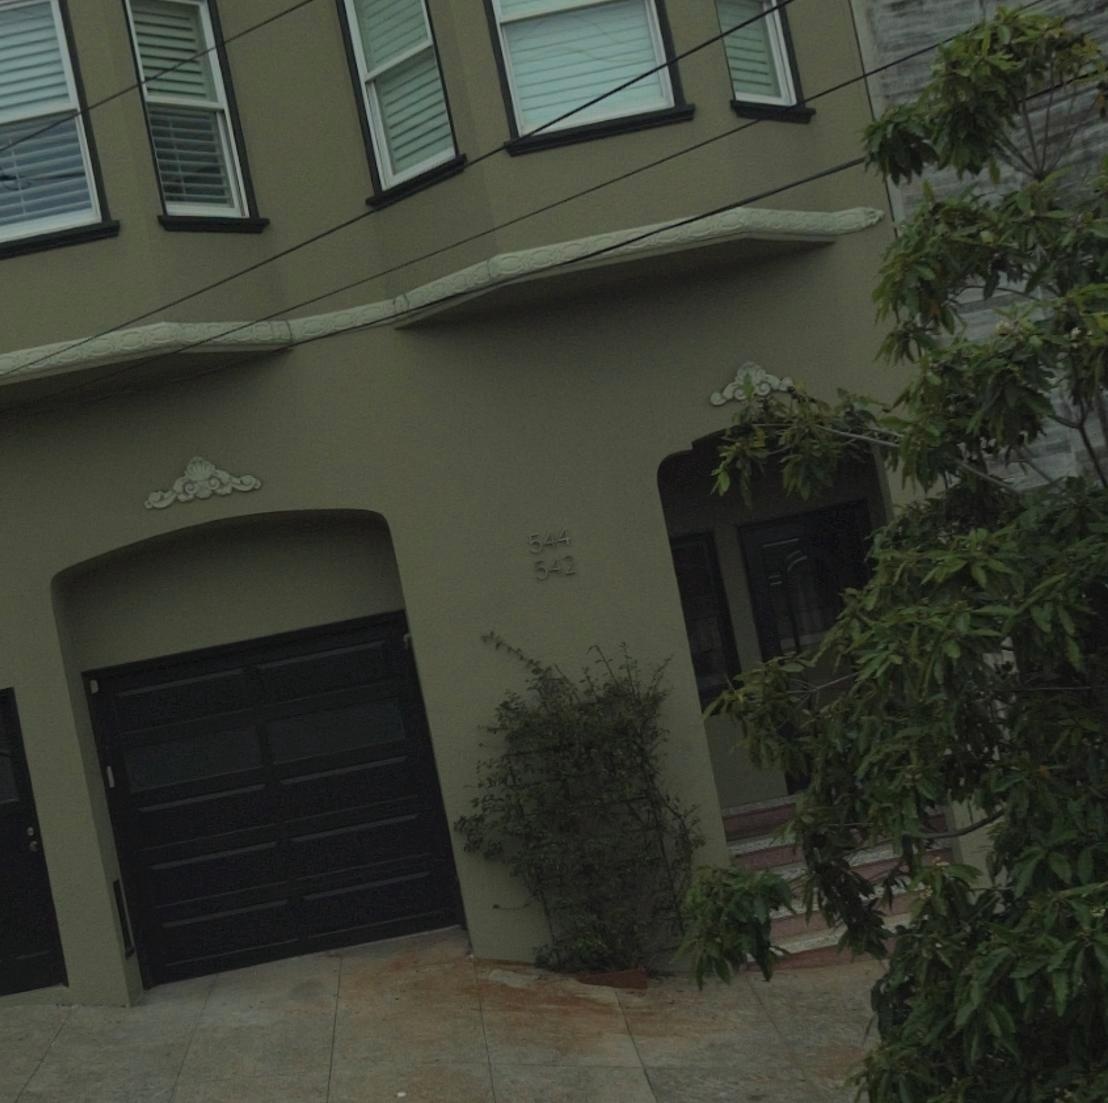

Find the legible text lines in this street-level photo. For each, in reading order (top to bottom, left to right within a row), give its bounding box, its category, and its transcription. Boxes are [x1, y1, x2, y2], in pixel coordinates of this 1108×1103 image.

[527, 524, 575, 556] StreetNumber: 544
[532, 552, 582, 582] StreetNumber: 542